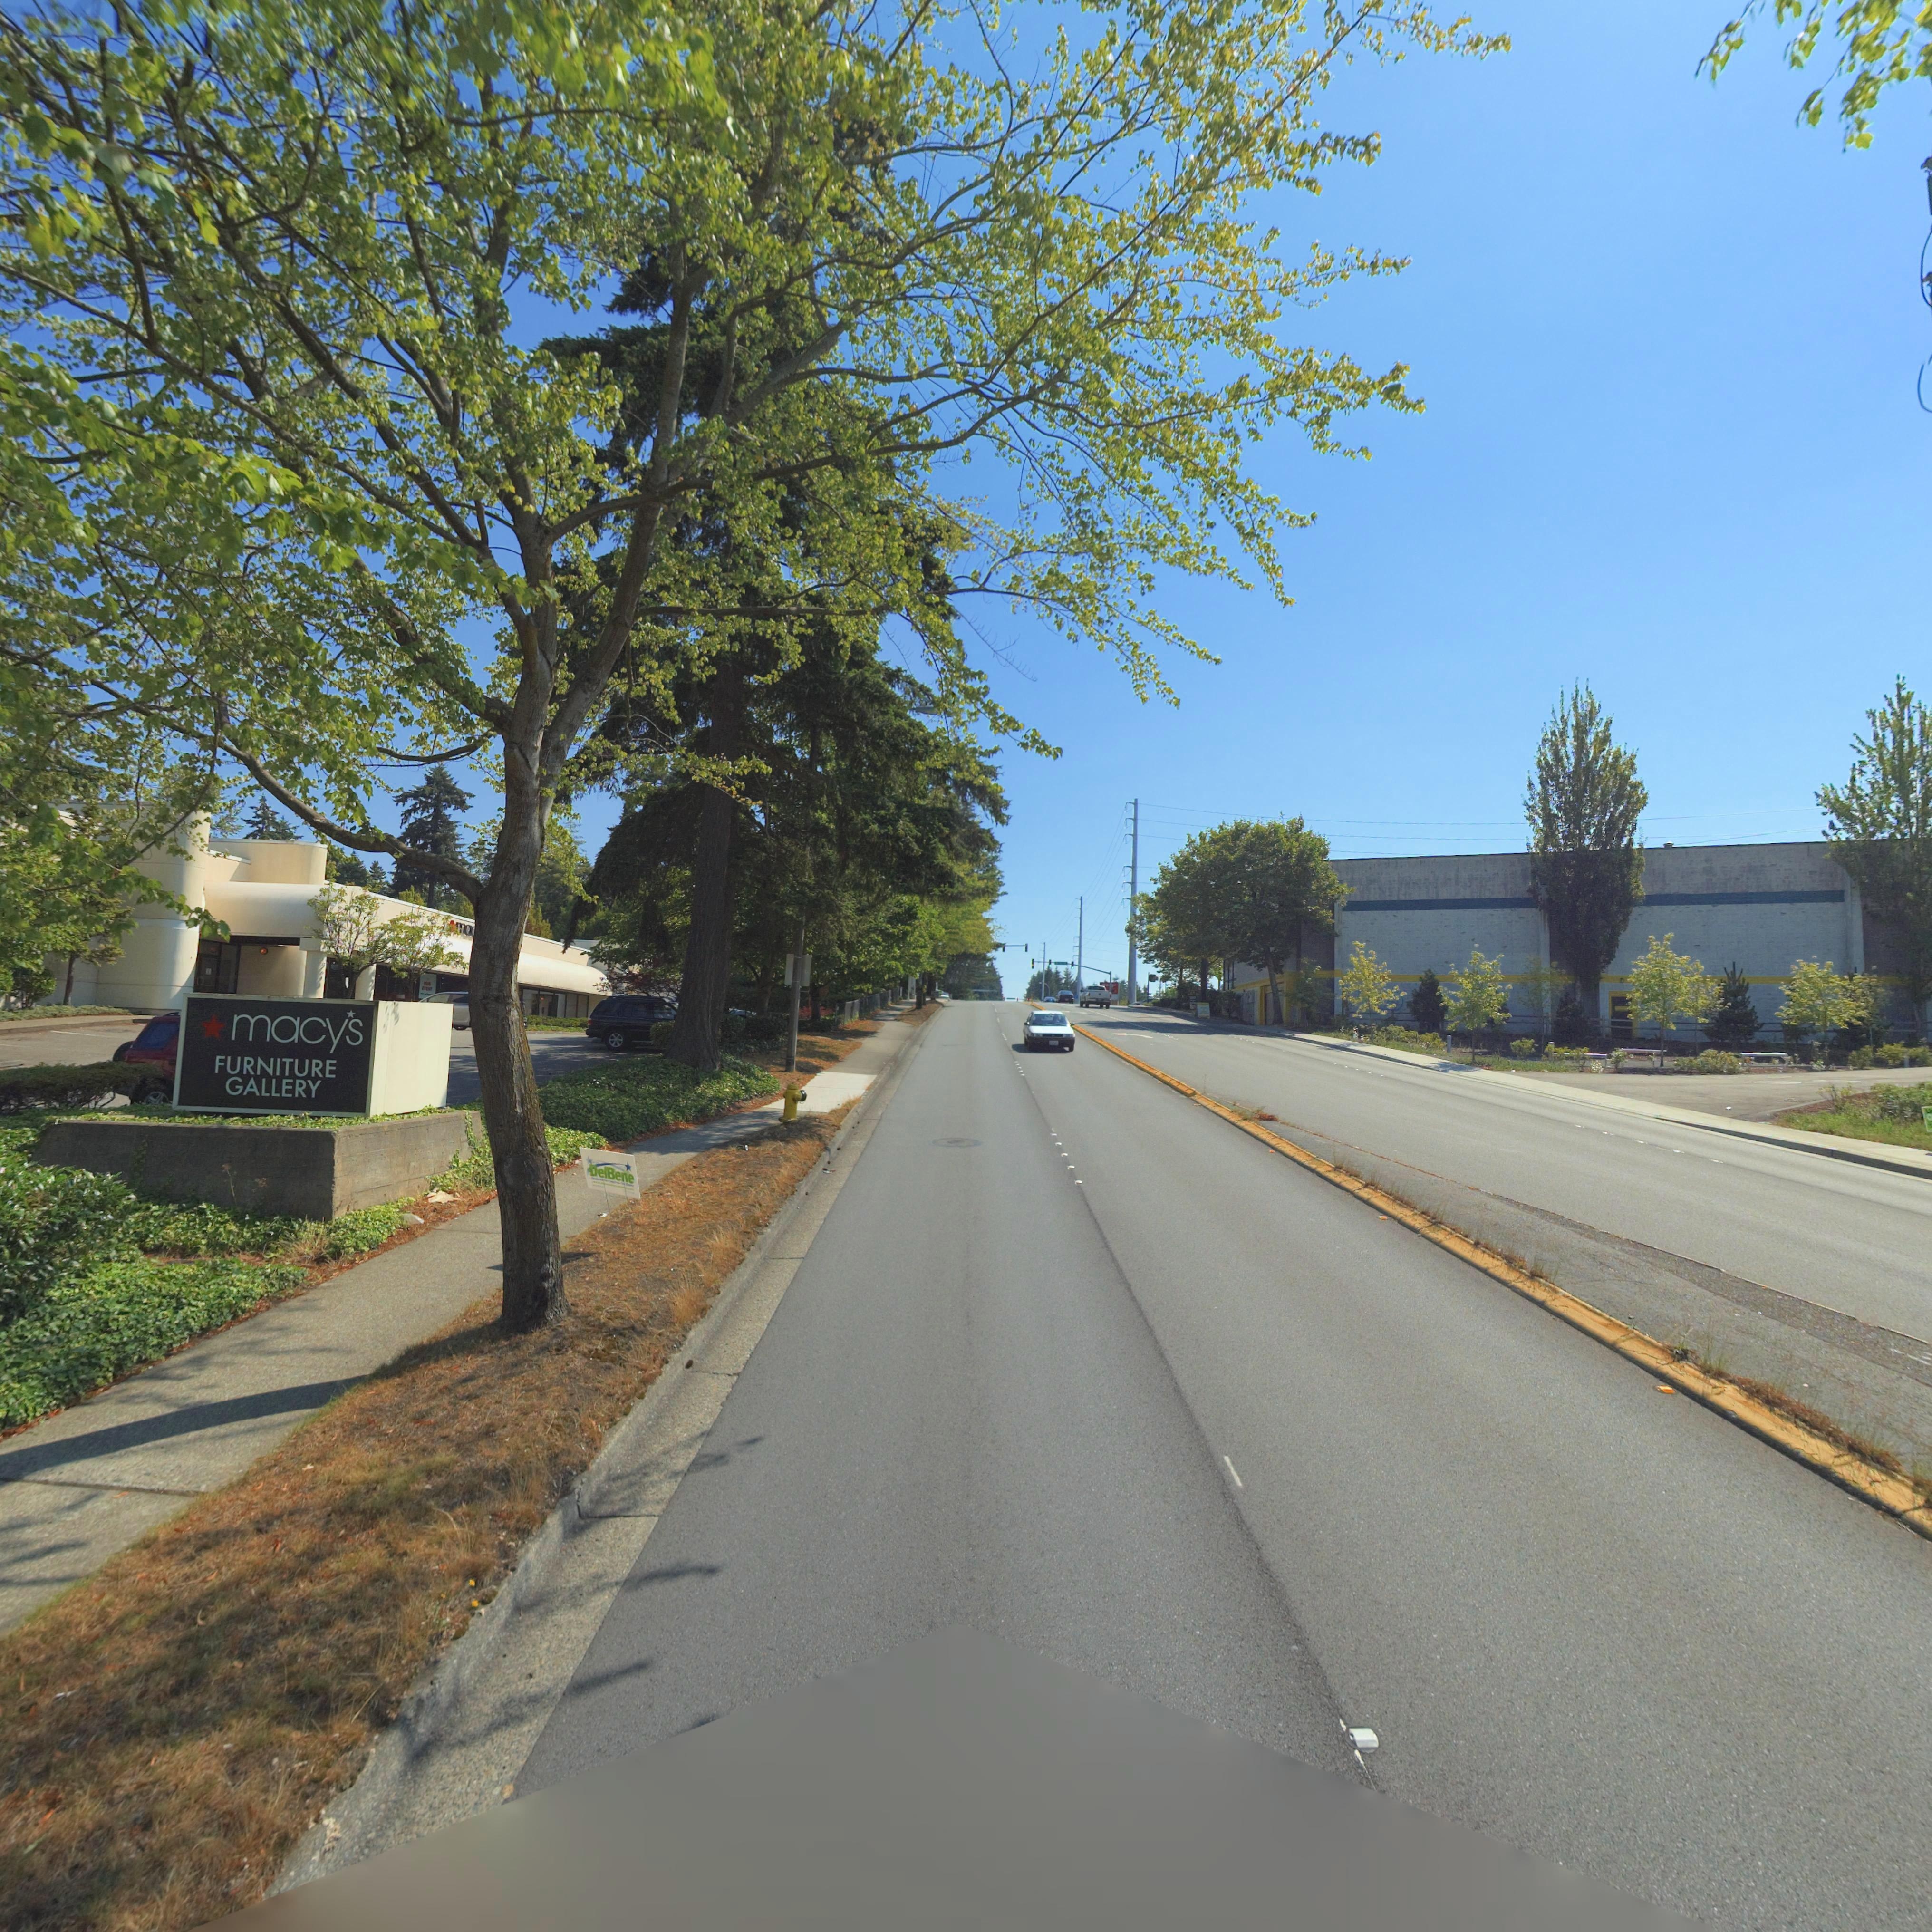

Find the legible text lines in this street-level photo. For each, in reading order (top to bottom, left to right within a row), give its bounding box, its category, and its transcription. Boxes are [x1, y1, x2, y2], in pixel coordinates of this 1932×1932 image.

[226, 1010, 367, 1058] BusinessName: macys
[215, 1055, 336, 1077] BusinessName: FURNITURE
[223, 1075, 324, 1098] BusinessName: GALLERY